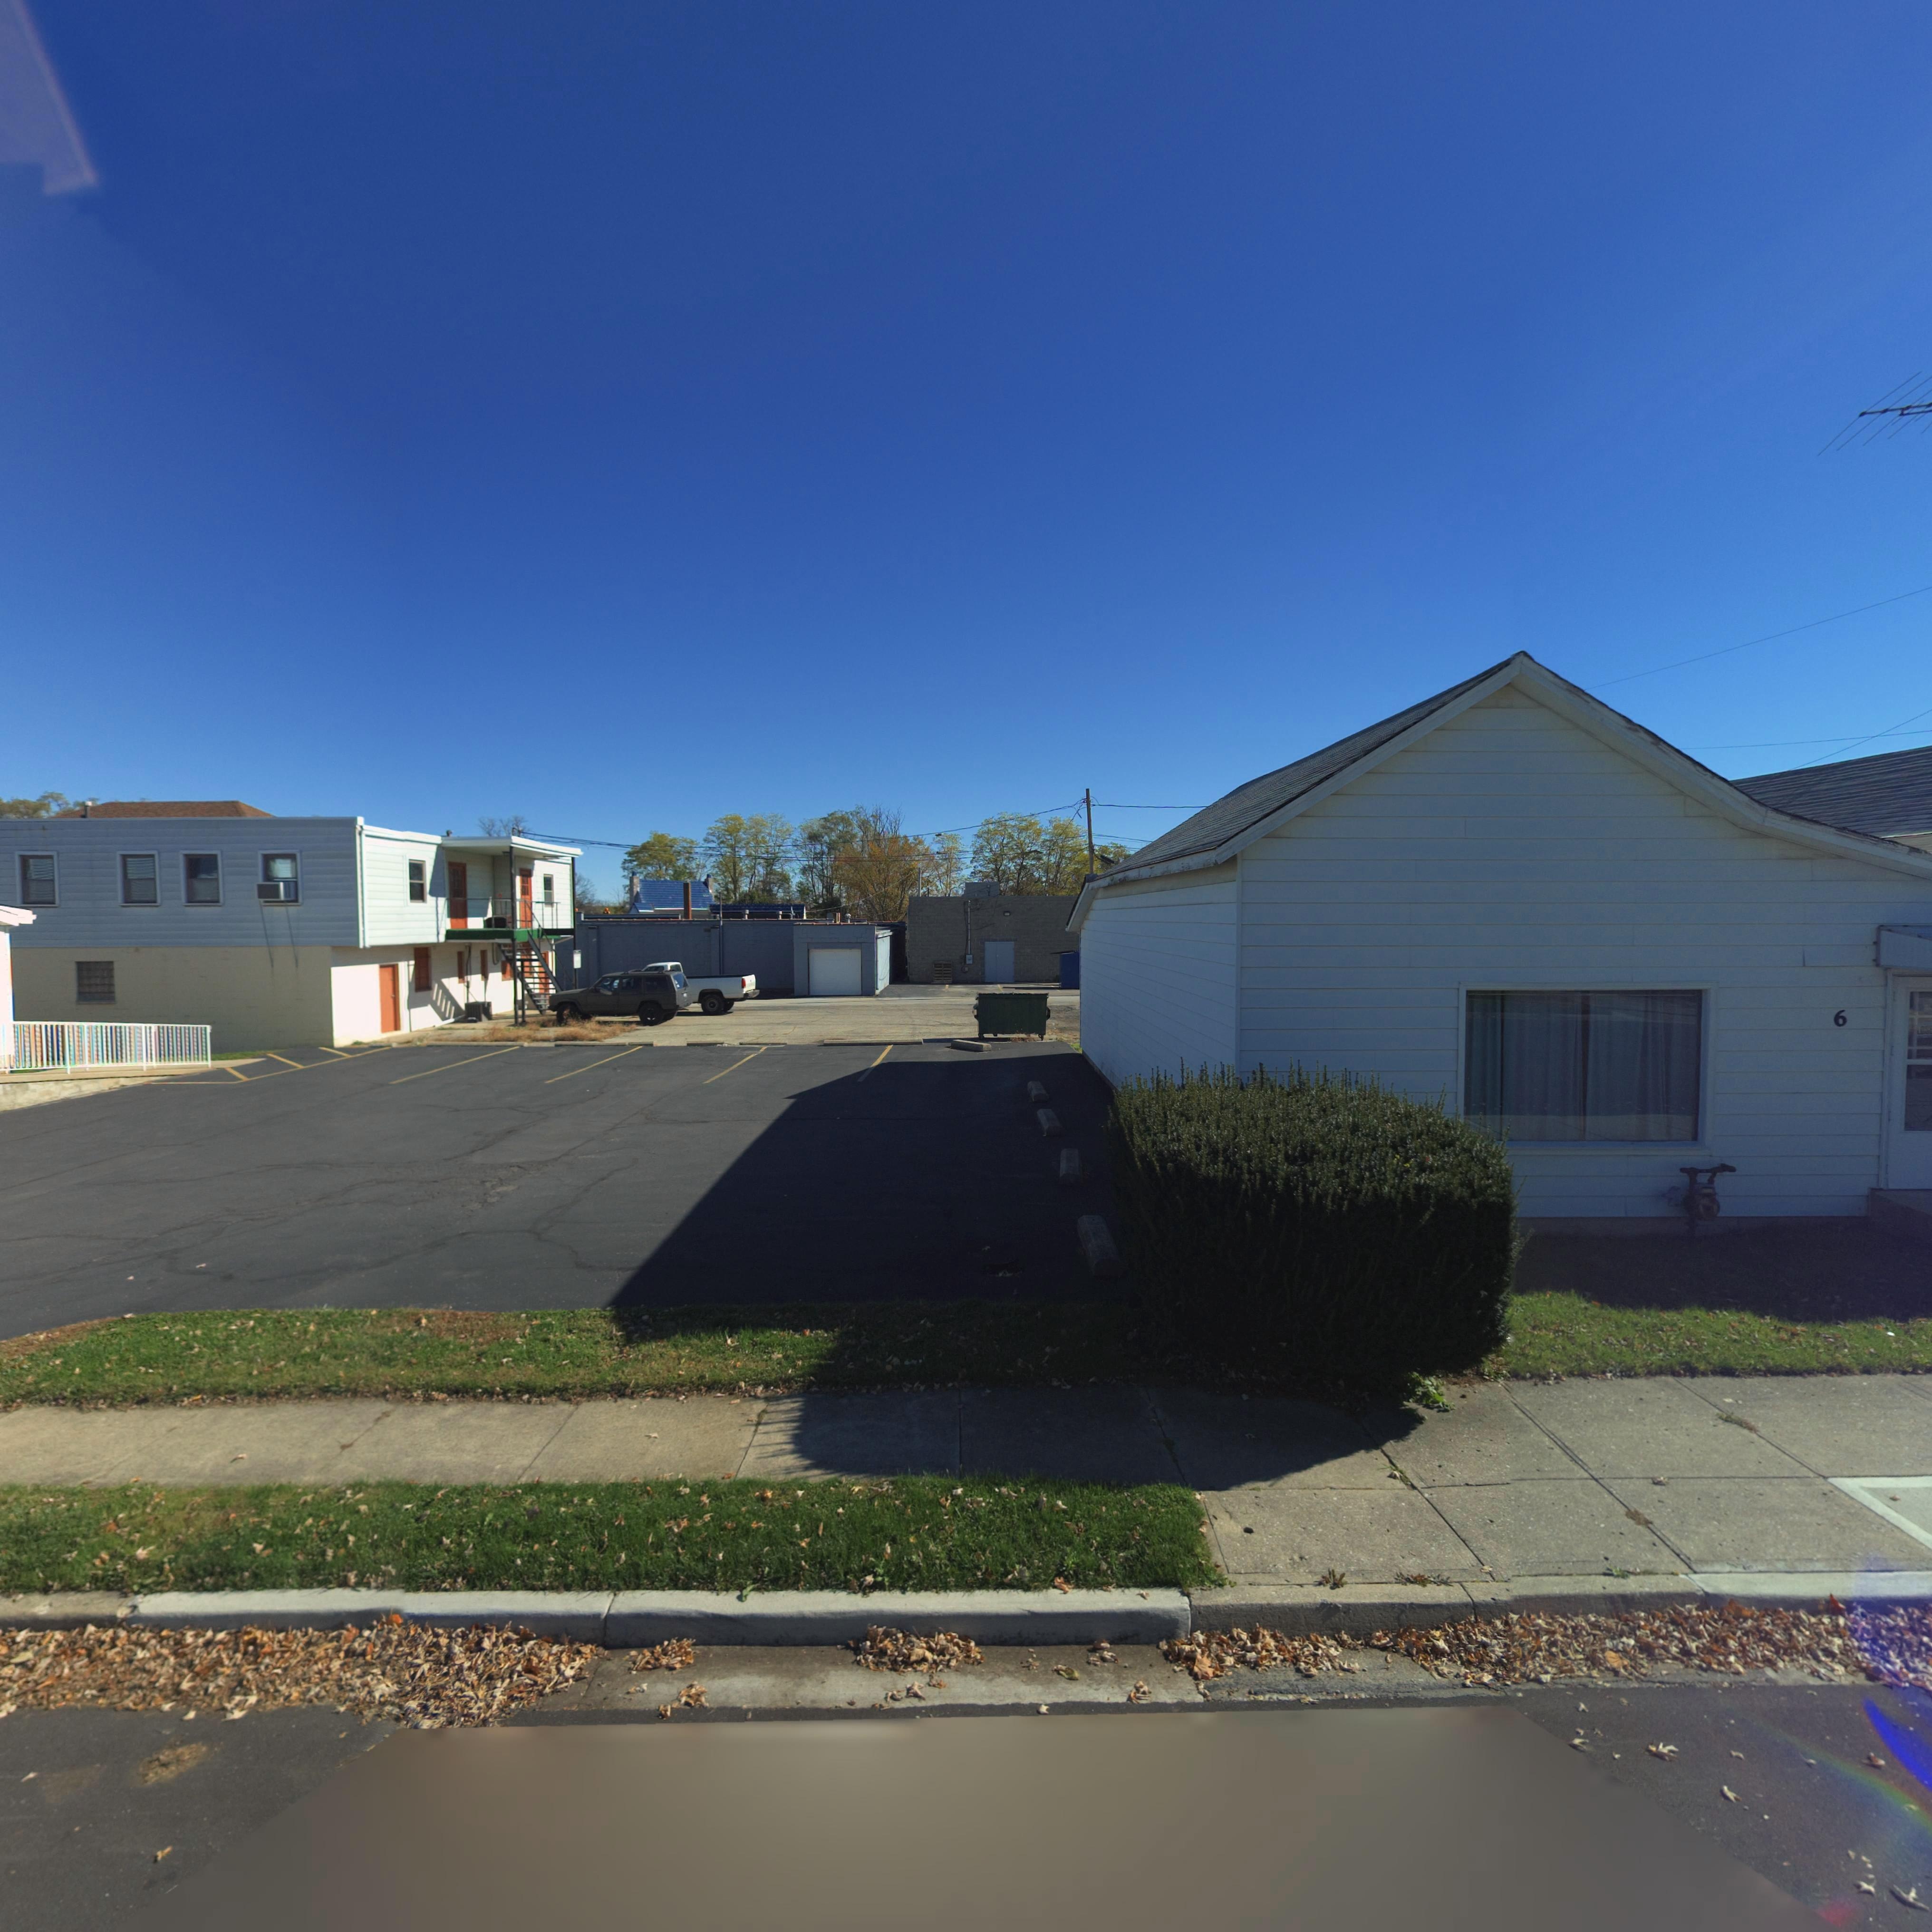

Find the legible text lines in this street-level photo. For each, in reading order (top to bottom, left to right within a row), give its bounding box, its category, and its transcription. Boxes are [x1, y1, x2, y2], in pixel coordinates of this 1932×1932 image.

[1834, 1009, 1847, 1027] StreetNumber: 6